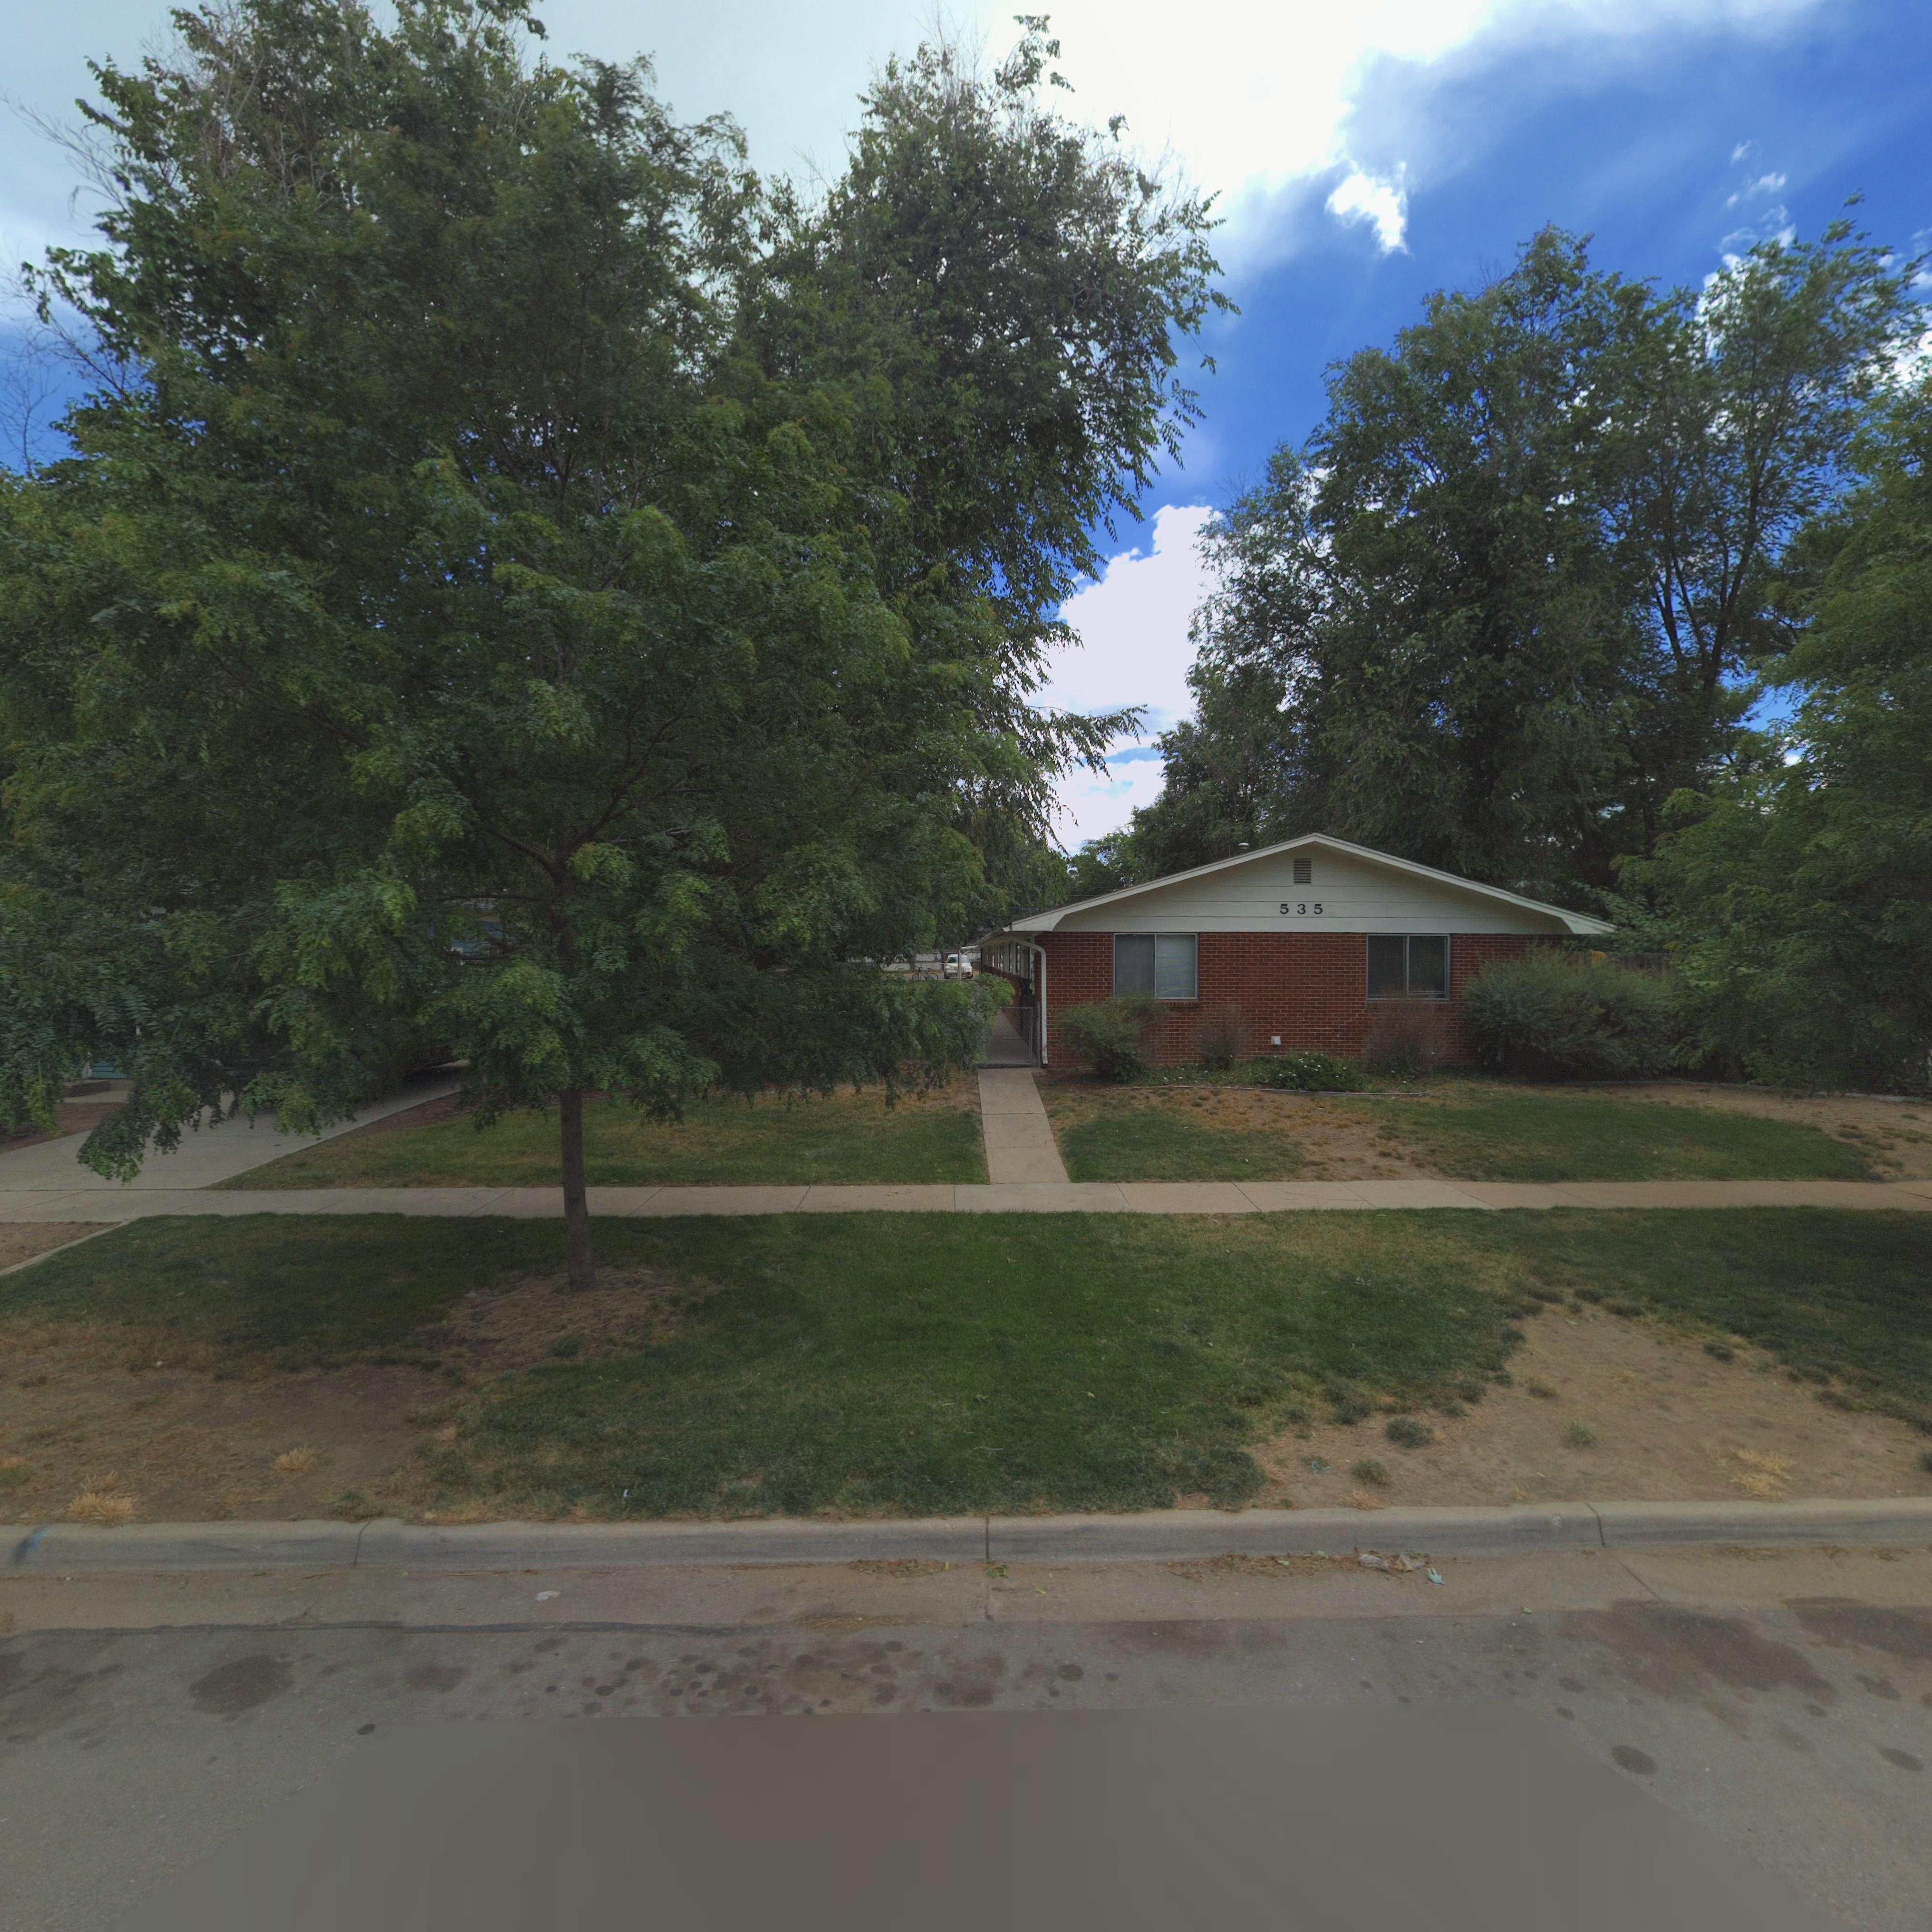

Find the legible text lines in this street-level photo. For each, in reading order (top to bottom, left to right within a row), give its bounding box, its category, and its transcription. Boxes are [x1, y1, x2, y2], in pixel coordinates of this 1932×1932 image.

[1278, 903, 1323, 915] StreetNumber: 535